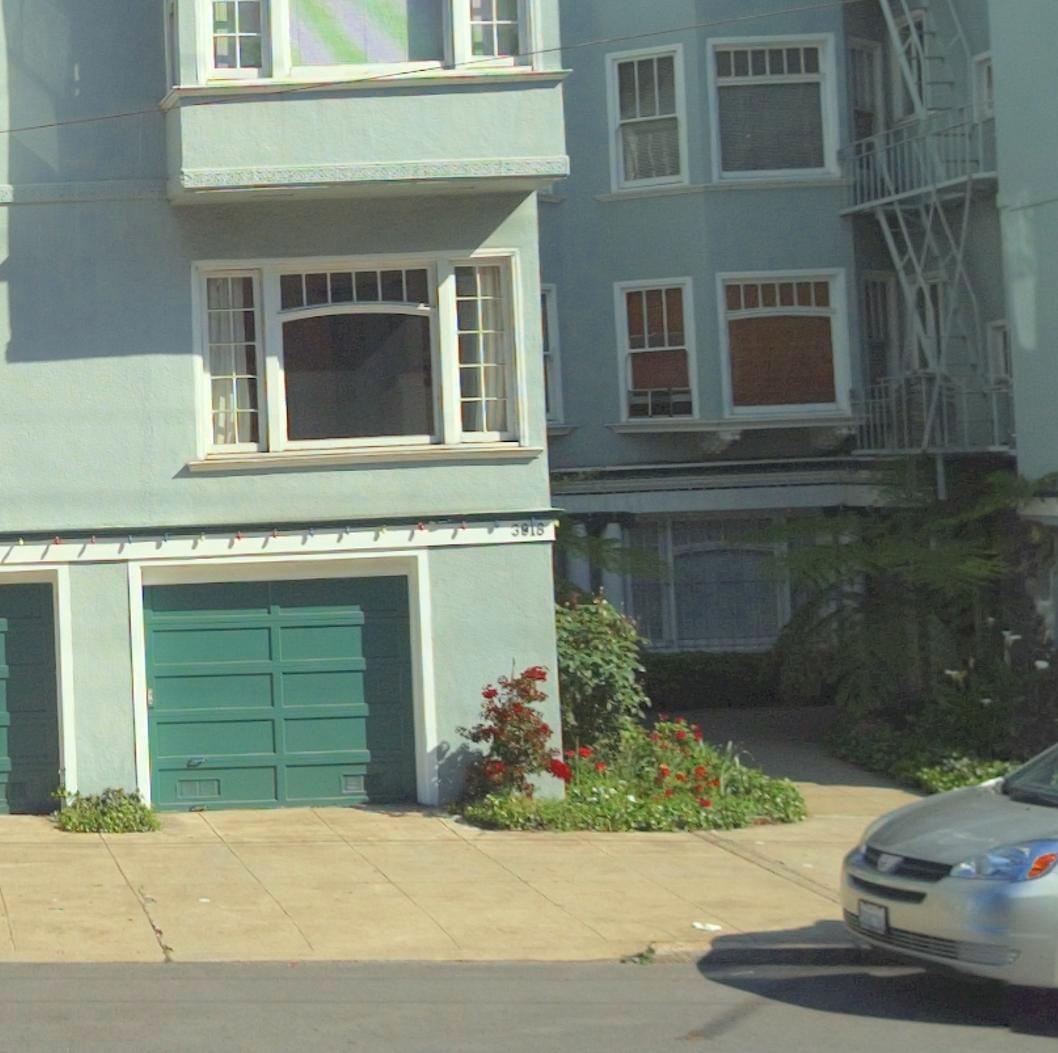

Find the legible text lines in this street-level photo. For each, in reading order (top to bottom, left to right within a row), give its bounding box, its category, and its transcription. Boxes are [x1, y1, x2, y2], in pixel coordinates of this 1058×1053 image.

[510, 520, 546, 539] StreetNumber: 3918